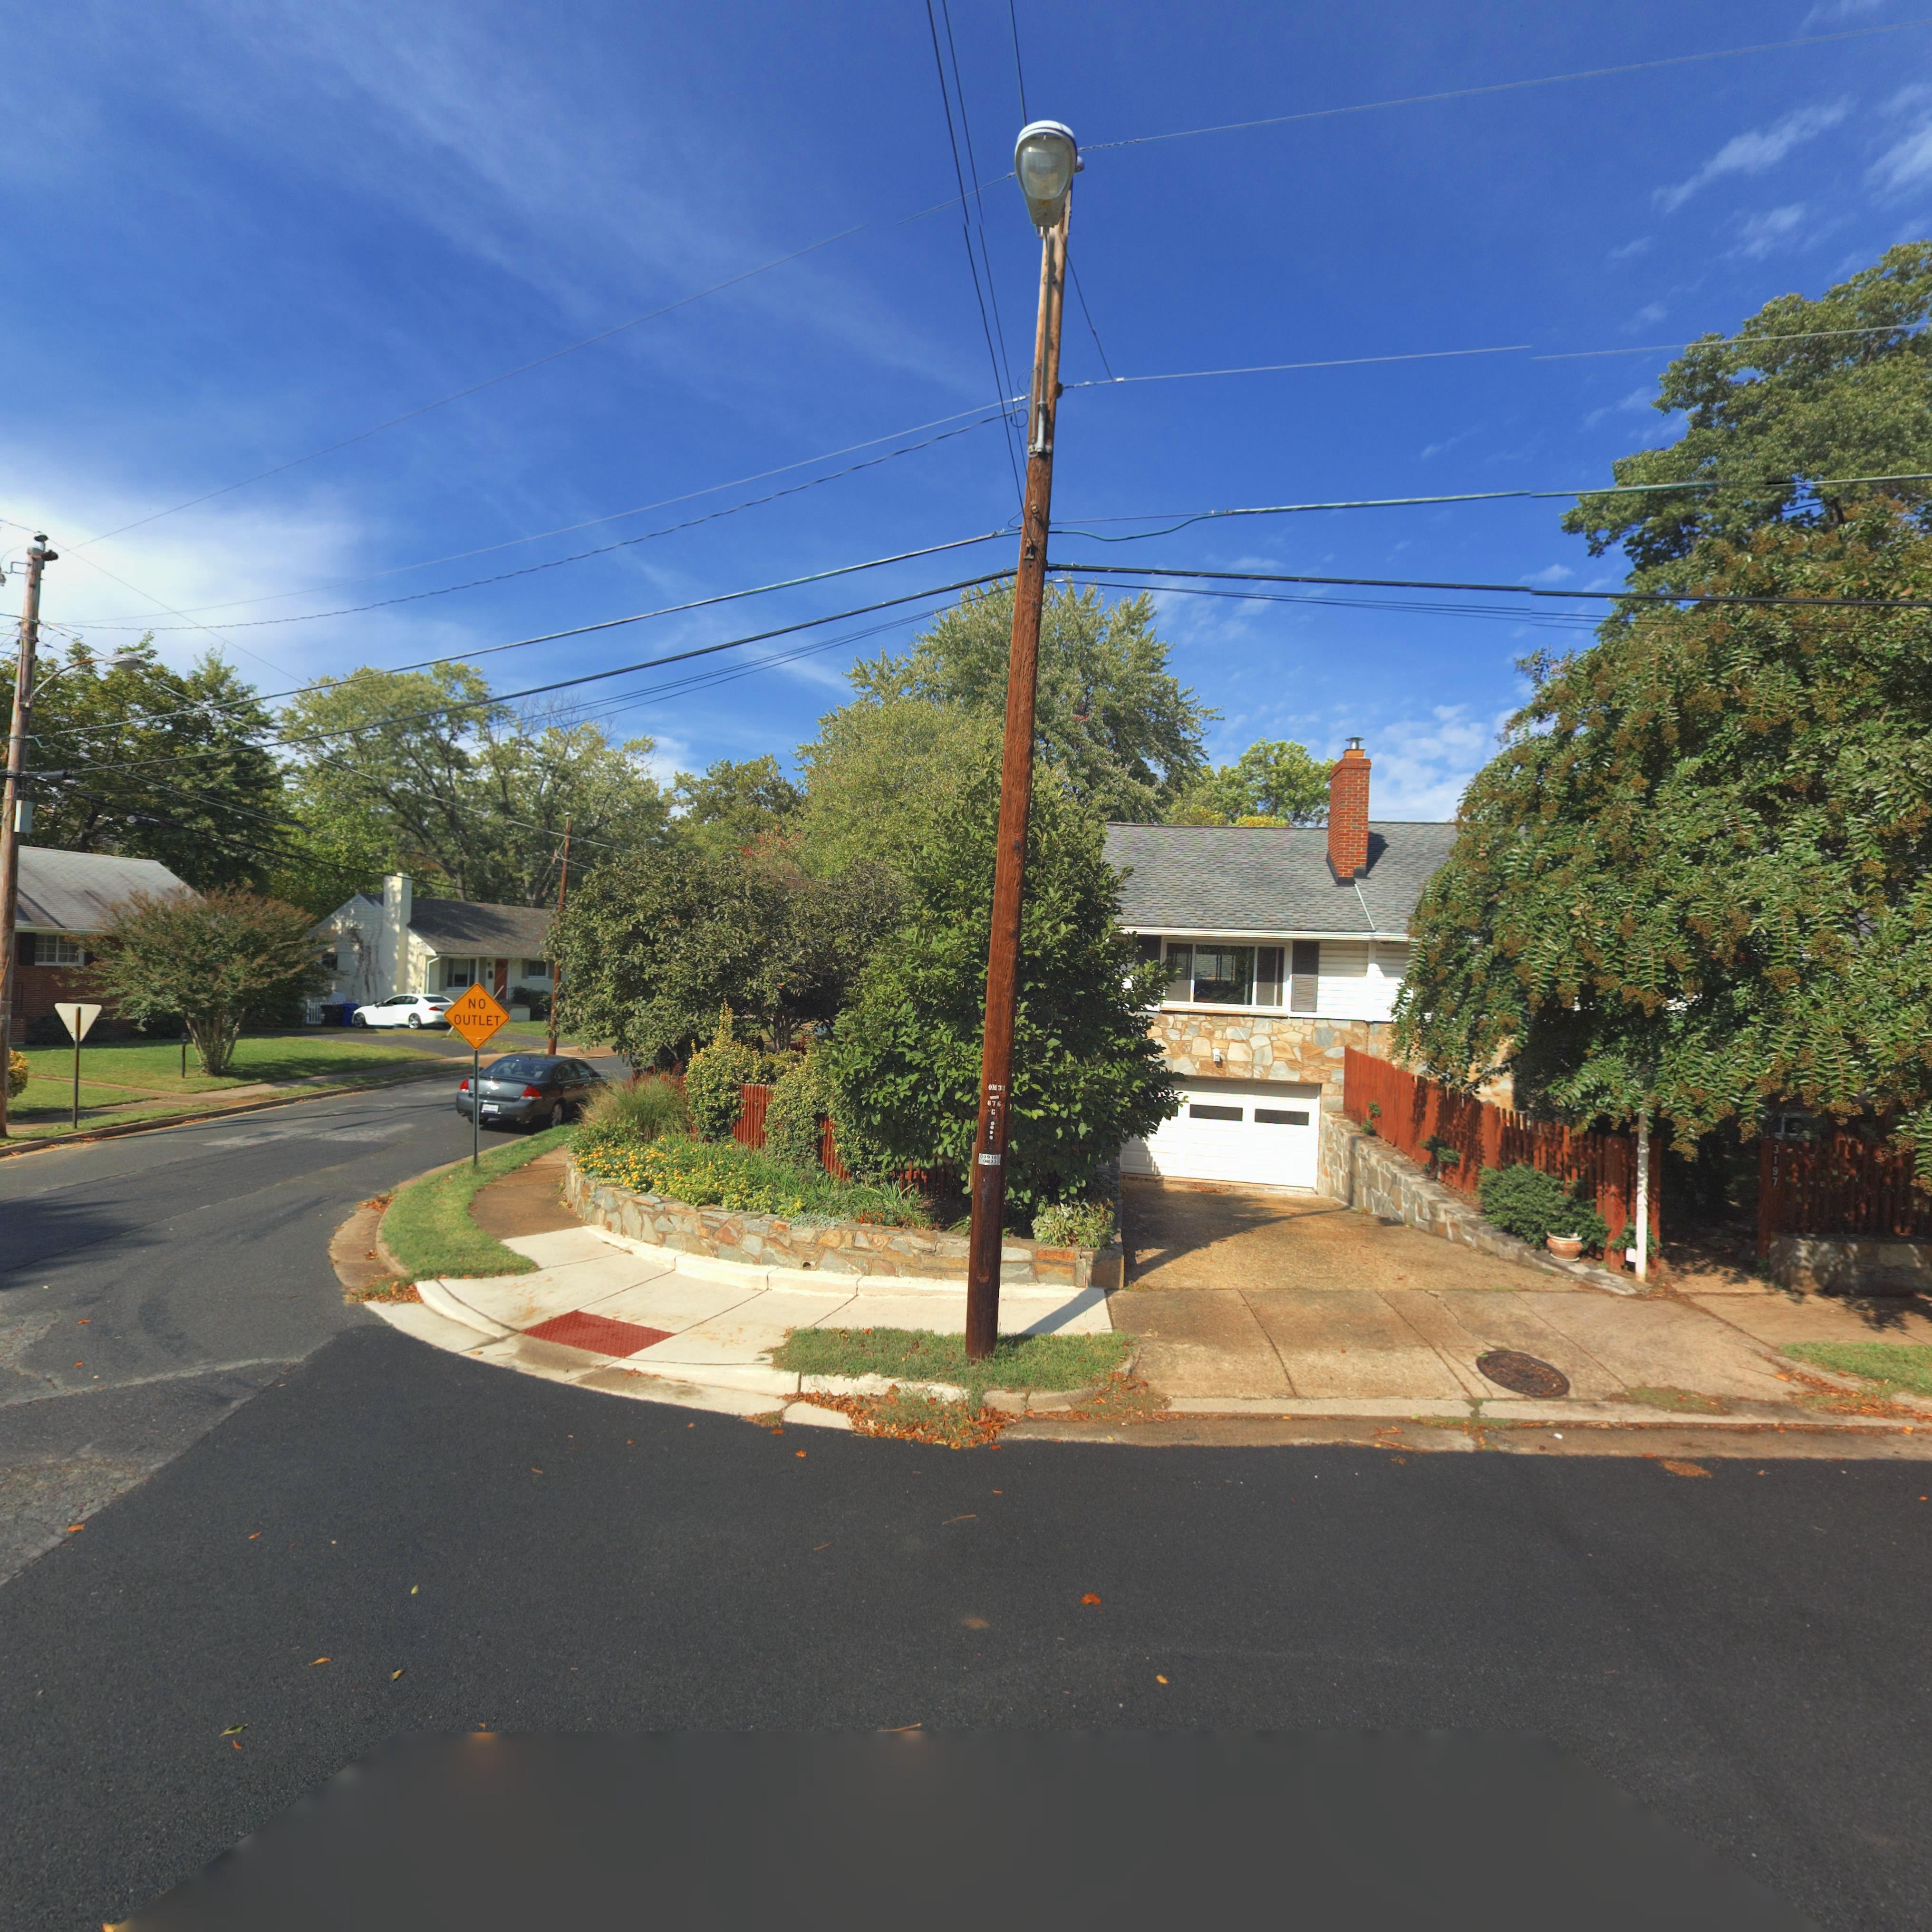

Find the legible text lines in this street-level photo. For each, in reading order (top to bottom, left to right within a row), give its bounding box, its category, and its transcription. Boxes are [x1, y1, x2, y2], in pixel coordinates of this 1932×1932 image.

[467, 997, 487, 1010] None: NO
[453, 1013, 502, 1027] None: OUTLET
[987, 1083, 1006, 1093] None: OM3*
[985, 1099, 1002, 1108] None: 676
[990, 1108, 997, 1117] None: G
[978, 1153, 998, 1160] None: *O*1*
[981, 1159, 997, 1165] None: OM**